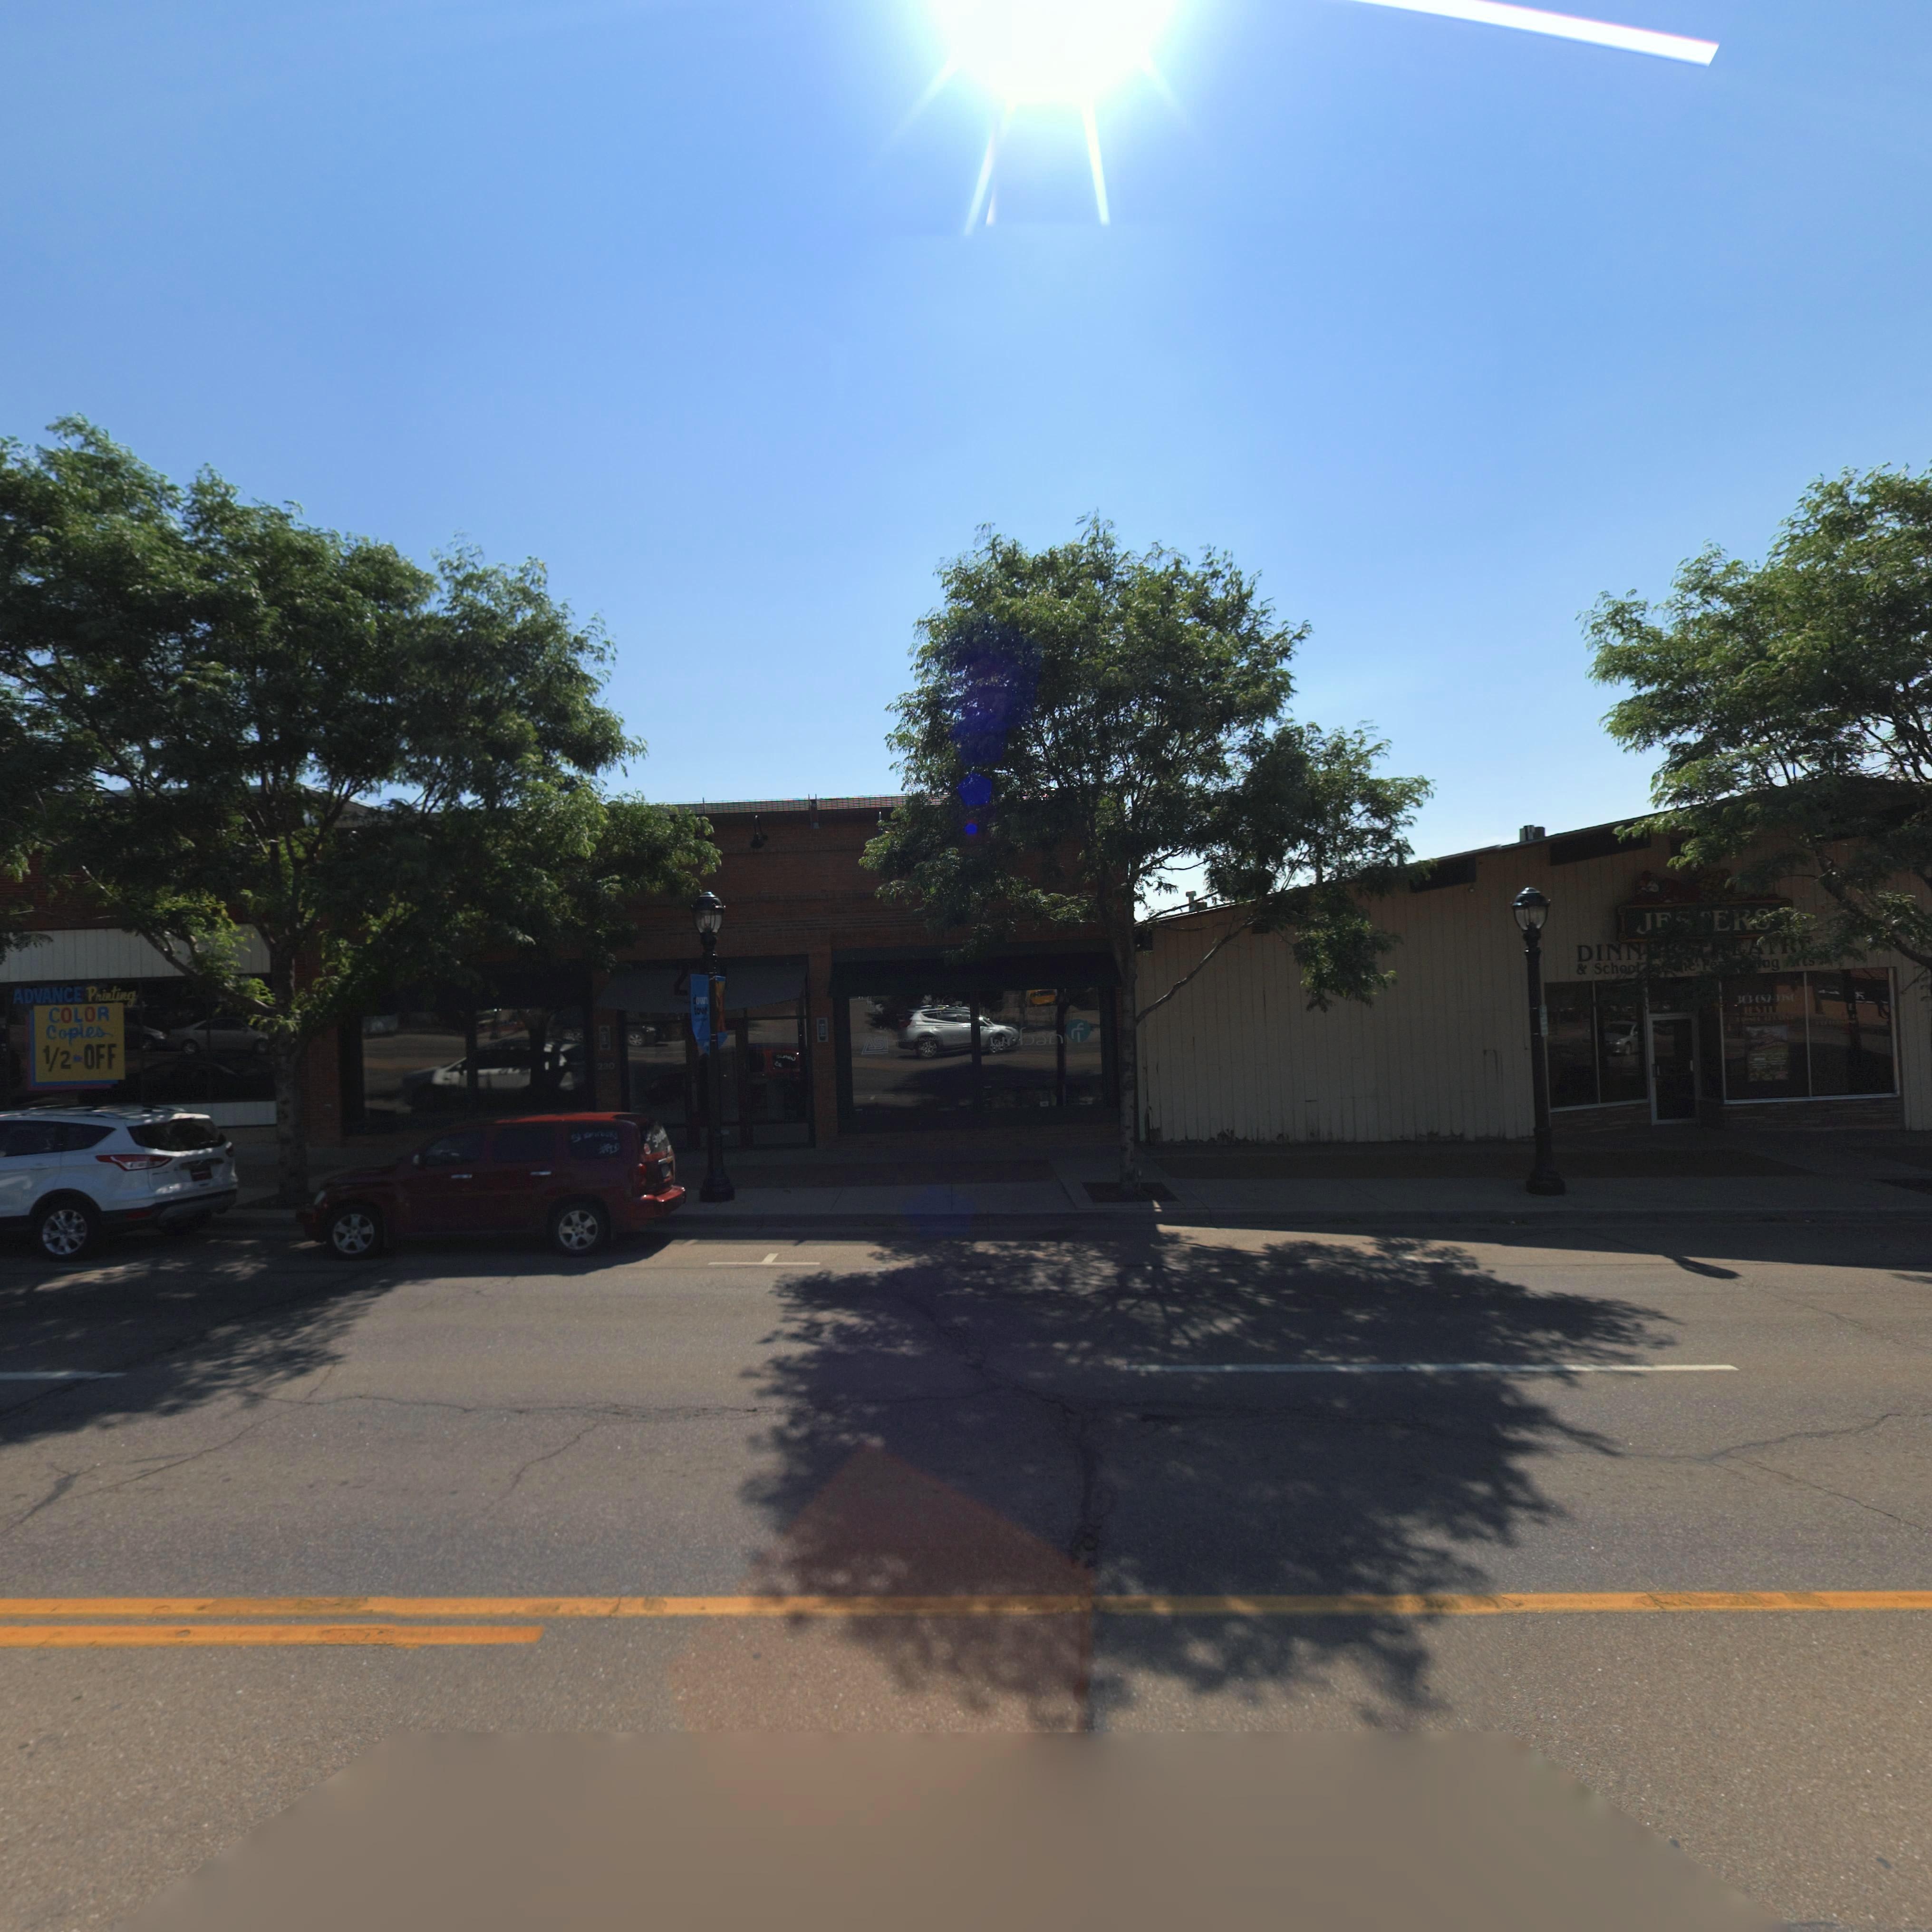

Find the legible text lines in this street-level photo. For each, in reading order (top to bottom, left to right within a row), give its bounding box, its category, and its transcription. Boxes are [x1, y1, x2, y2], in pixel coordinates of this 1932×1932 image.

[1634, 906, 1771, 937] BusinessName: J***ERS
[1574, 932, 1814, 962] BusinessName: DINN** ***A*R*
[672, 960, 690, 996] StreetNumber: 2
[12, 985, 137, 1008] BusinessName: ADVANCE Printing
[987, 1026, 1064, 1048] BusinessName: urban
[596, 1061, 615, 1070] StreetNumber: 230